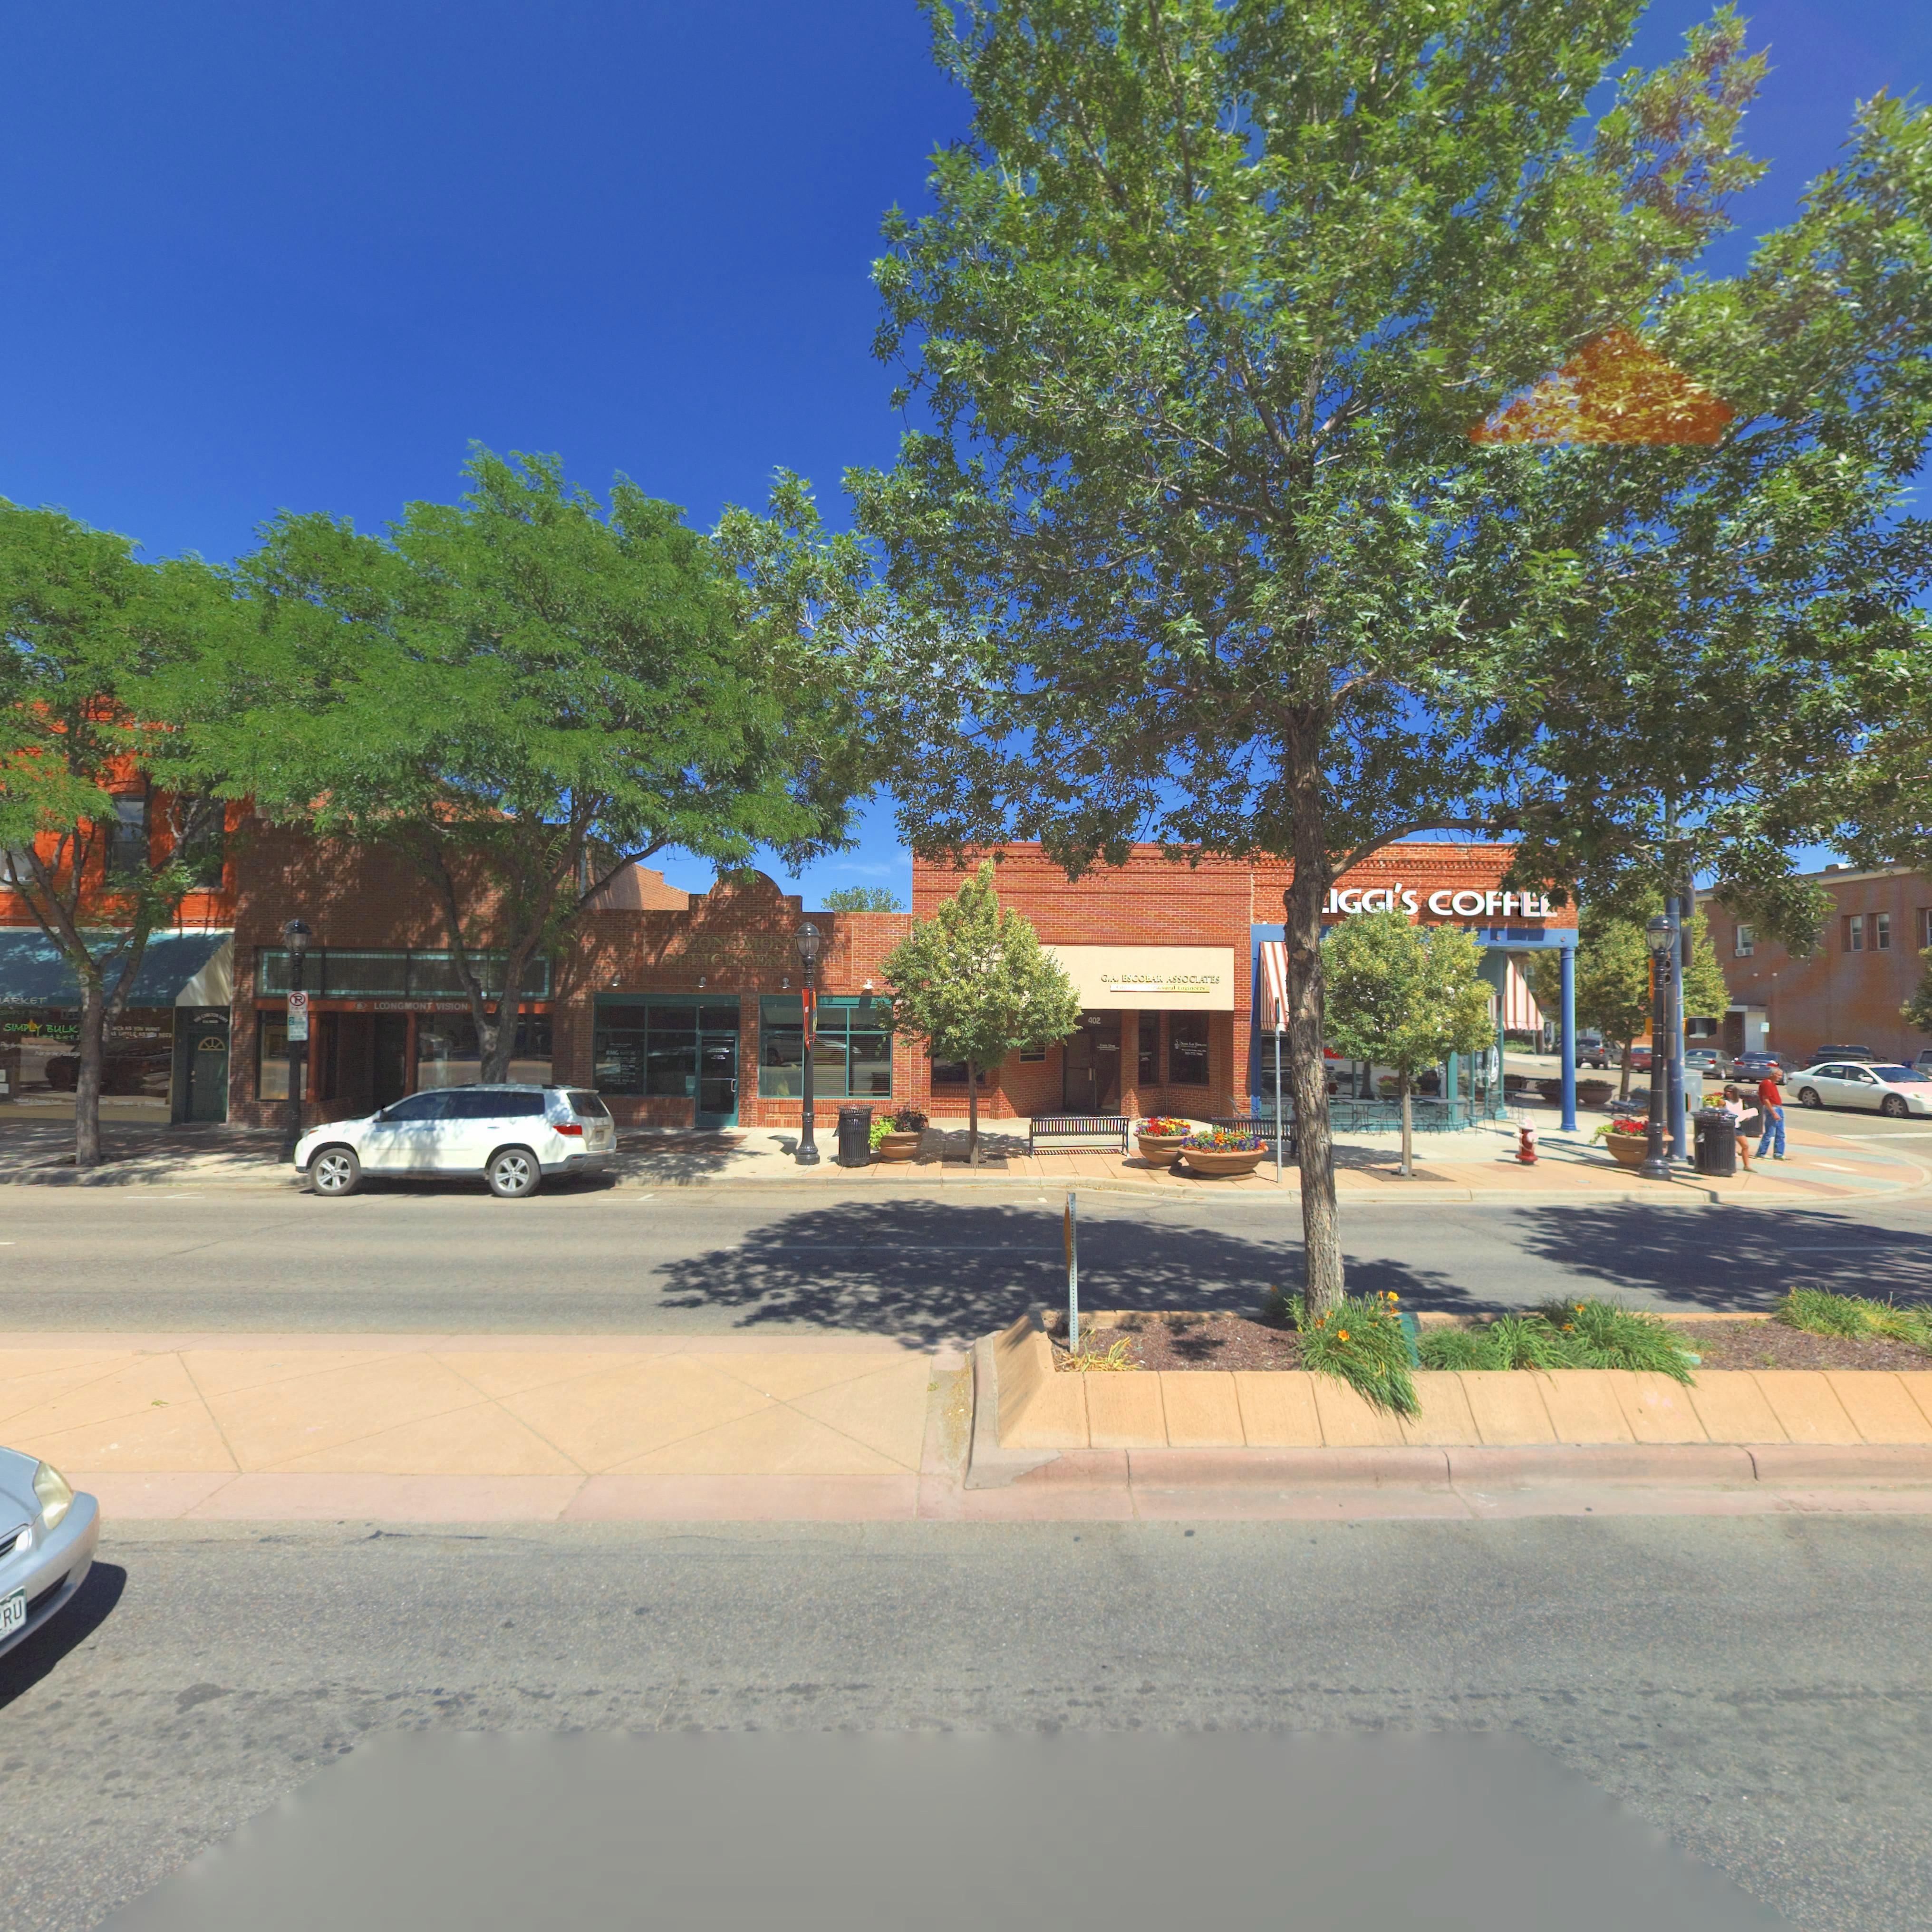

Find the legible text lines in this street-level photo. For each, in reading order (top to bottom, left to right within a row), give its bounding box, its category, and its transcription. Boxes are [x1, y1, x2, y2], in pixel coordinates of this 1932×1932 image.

[1328, 880, 1540, 917] BusinessName: IGGI'S COFFE
[1101, 973, 1221, 984] BusinessName: G.A. ESCOBAR ASSOCIATES
[1, 996, 47, 1004] BusinessName: ARKET
[373, 1001, 469, 1011] BusinessName: LOONGMONT VISION
[1088, 1017, 1101, 1024] StreetNumber: 402
[2, 1022, 78, 1037] BusinessName: SIMPLY BULK
[41, 1034, 80, 1040] BusinessName: MARKET